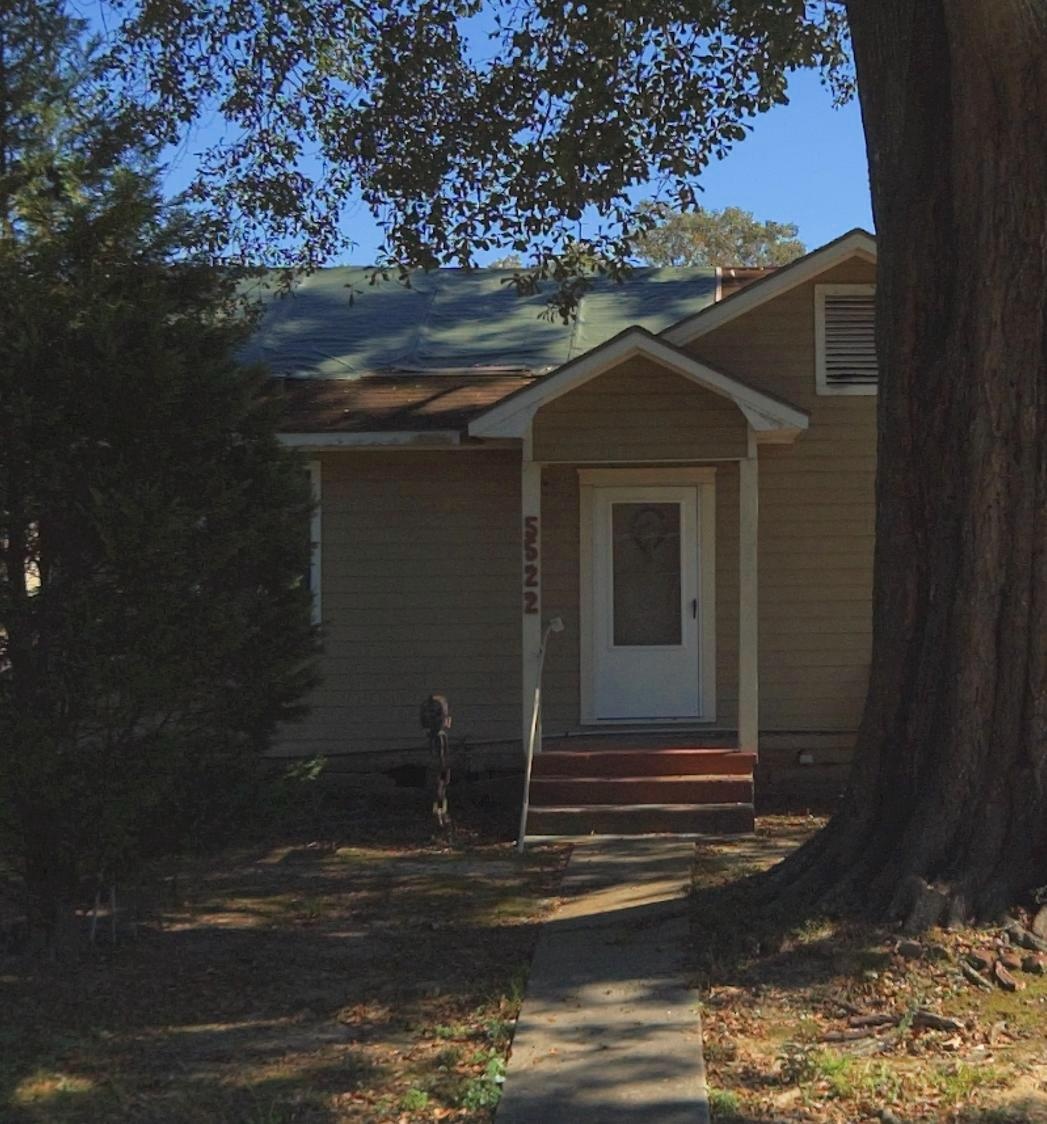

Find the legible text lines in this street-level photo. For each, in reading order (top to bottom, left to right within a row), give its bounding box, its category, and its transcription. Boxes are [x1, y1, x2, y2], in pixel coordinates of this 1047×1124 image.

[522, 513, 540, 616] StreetNumber: 5522